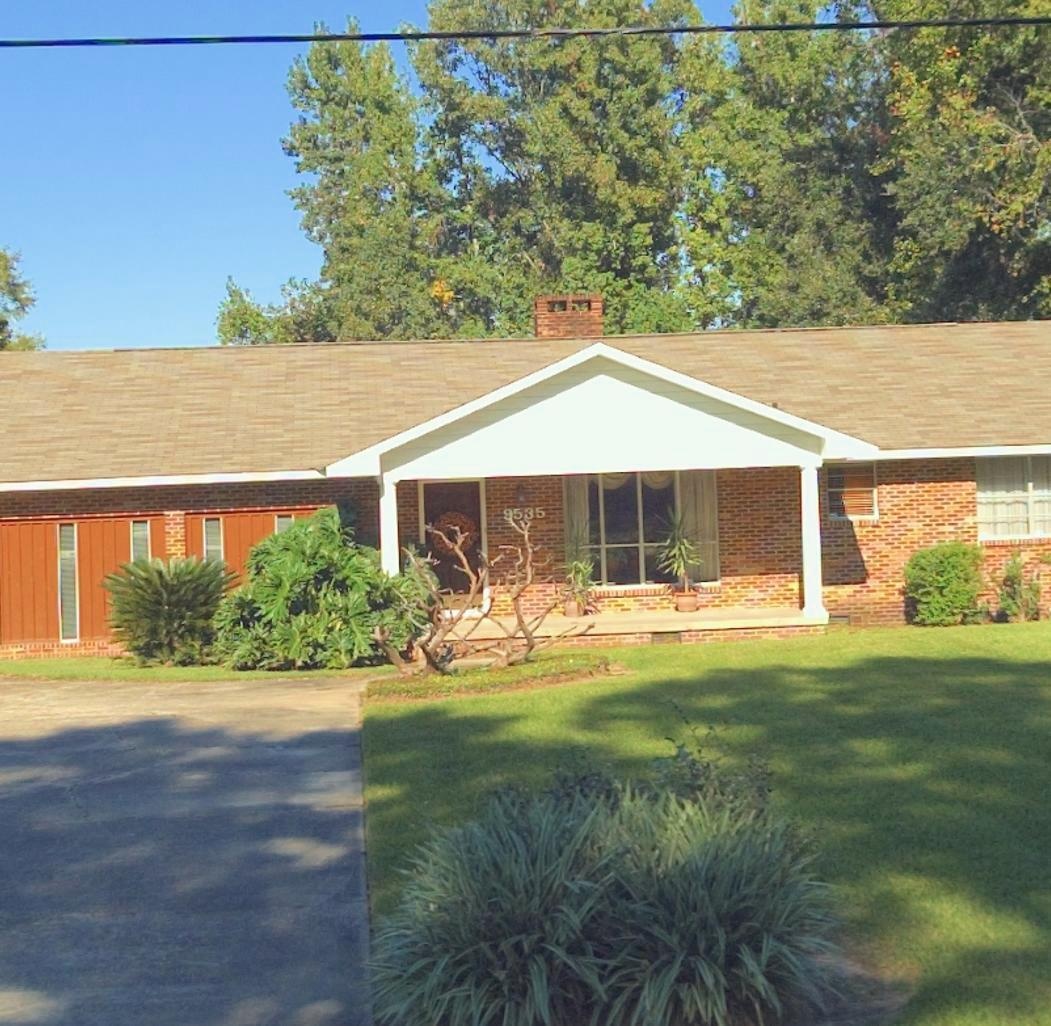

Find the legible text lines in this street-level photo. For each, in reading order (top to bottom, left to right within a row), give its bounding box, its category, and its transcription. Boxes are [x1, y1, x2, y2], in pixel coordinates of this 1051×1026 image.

[503, 506, 546, 521] StreetNumber: 9535